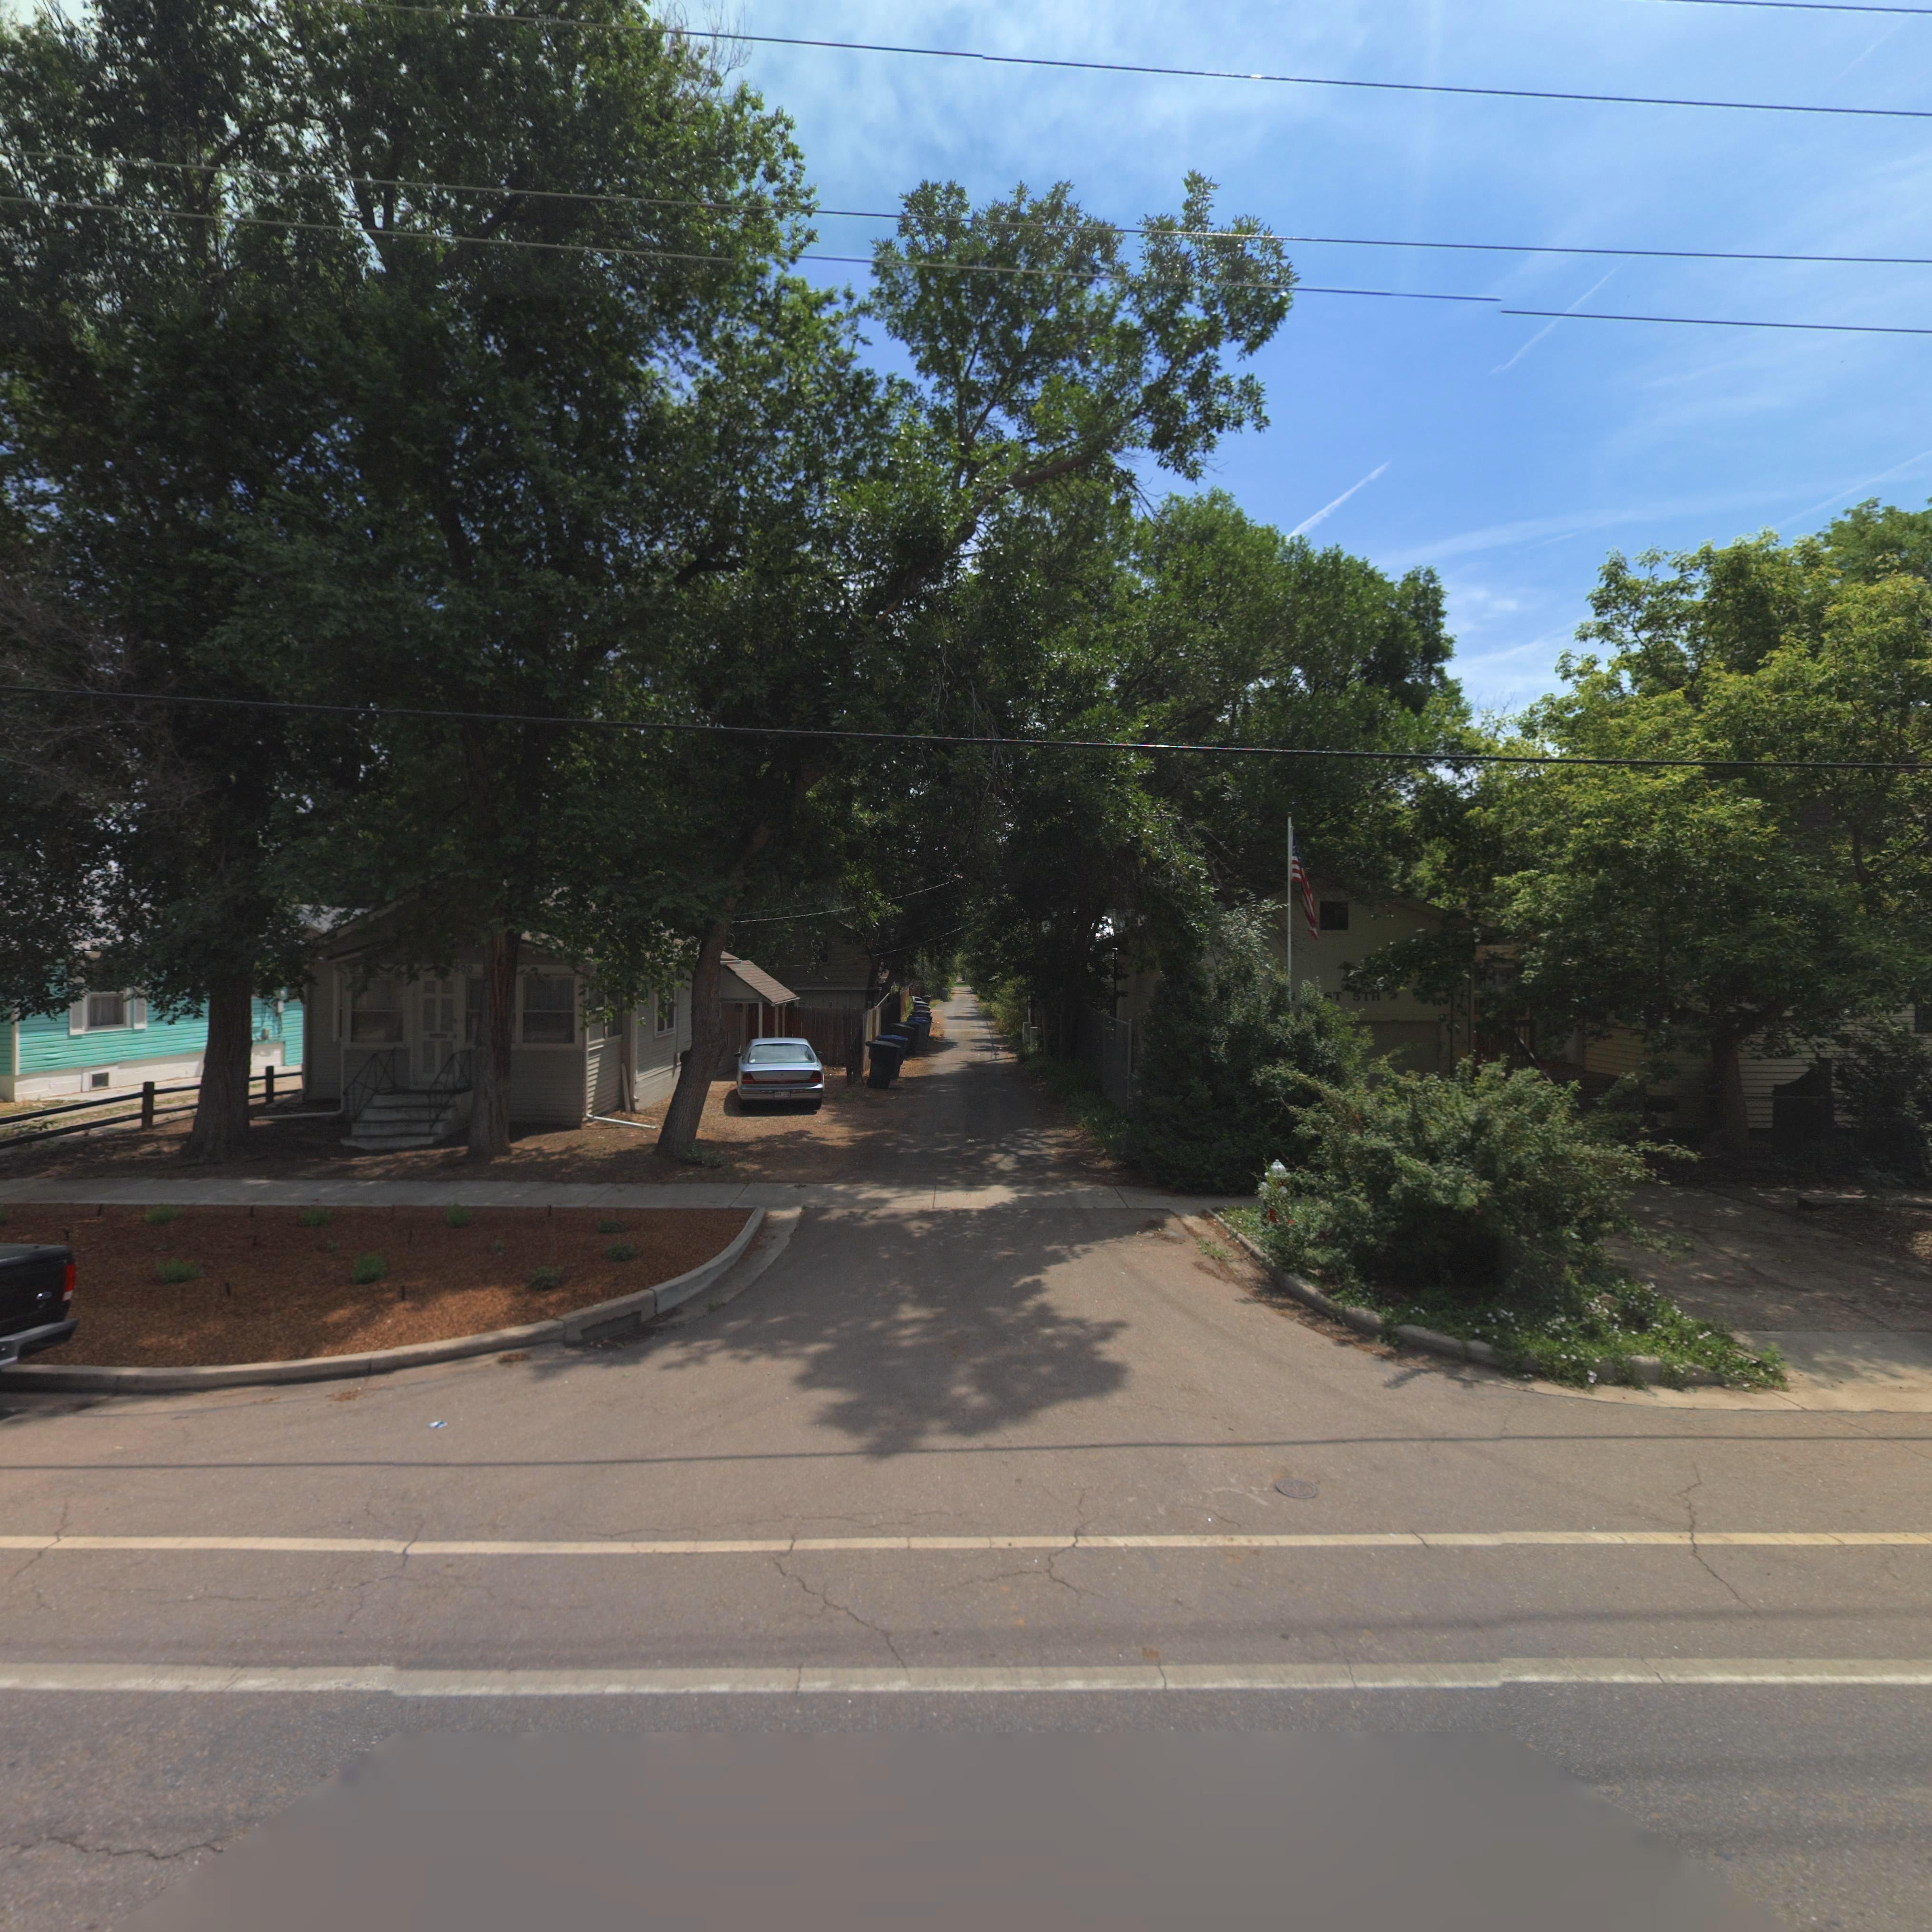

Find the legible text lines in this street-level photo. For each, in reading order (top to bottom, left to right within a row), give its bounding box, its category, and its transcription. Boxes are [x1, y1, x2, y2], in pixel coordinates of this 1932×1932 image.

[453, 963, 473, 973] StreetNumber: 500
[1324, 990, 1380, 1001] StreetName: ST 5TH